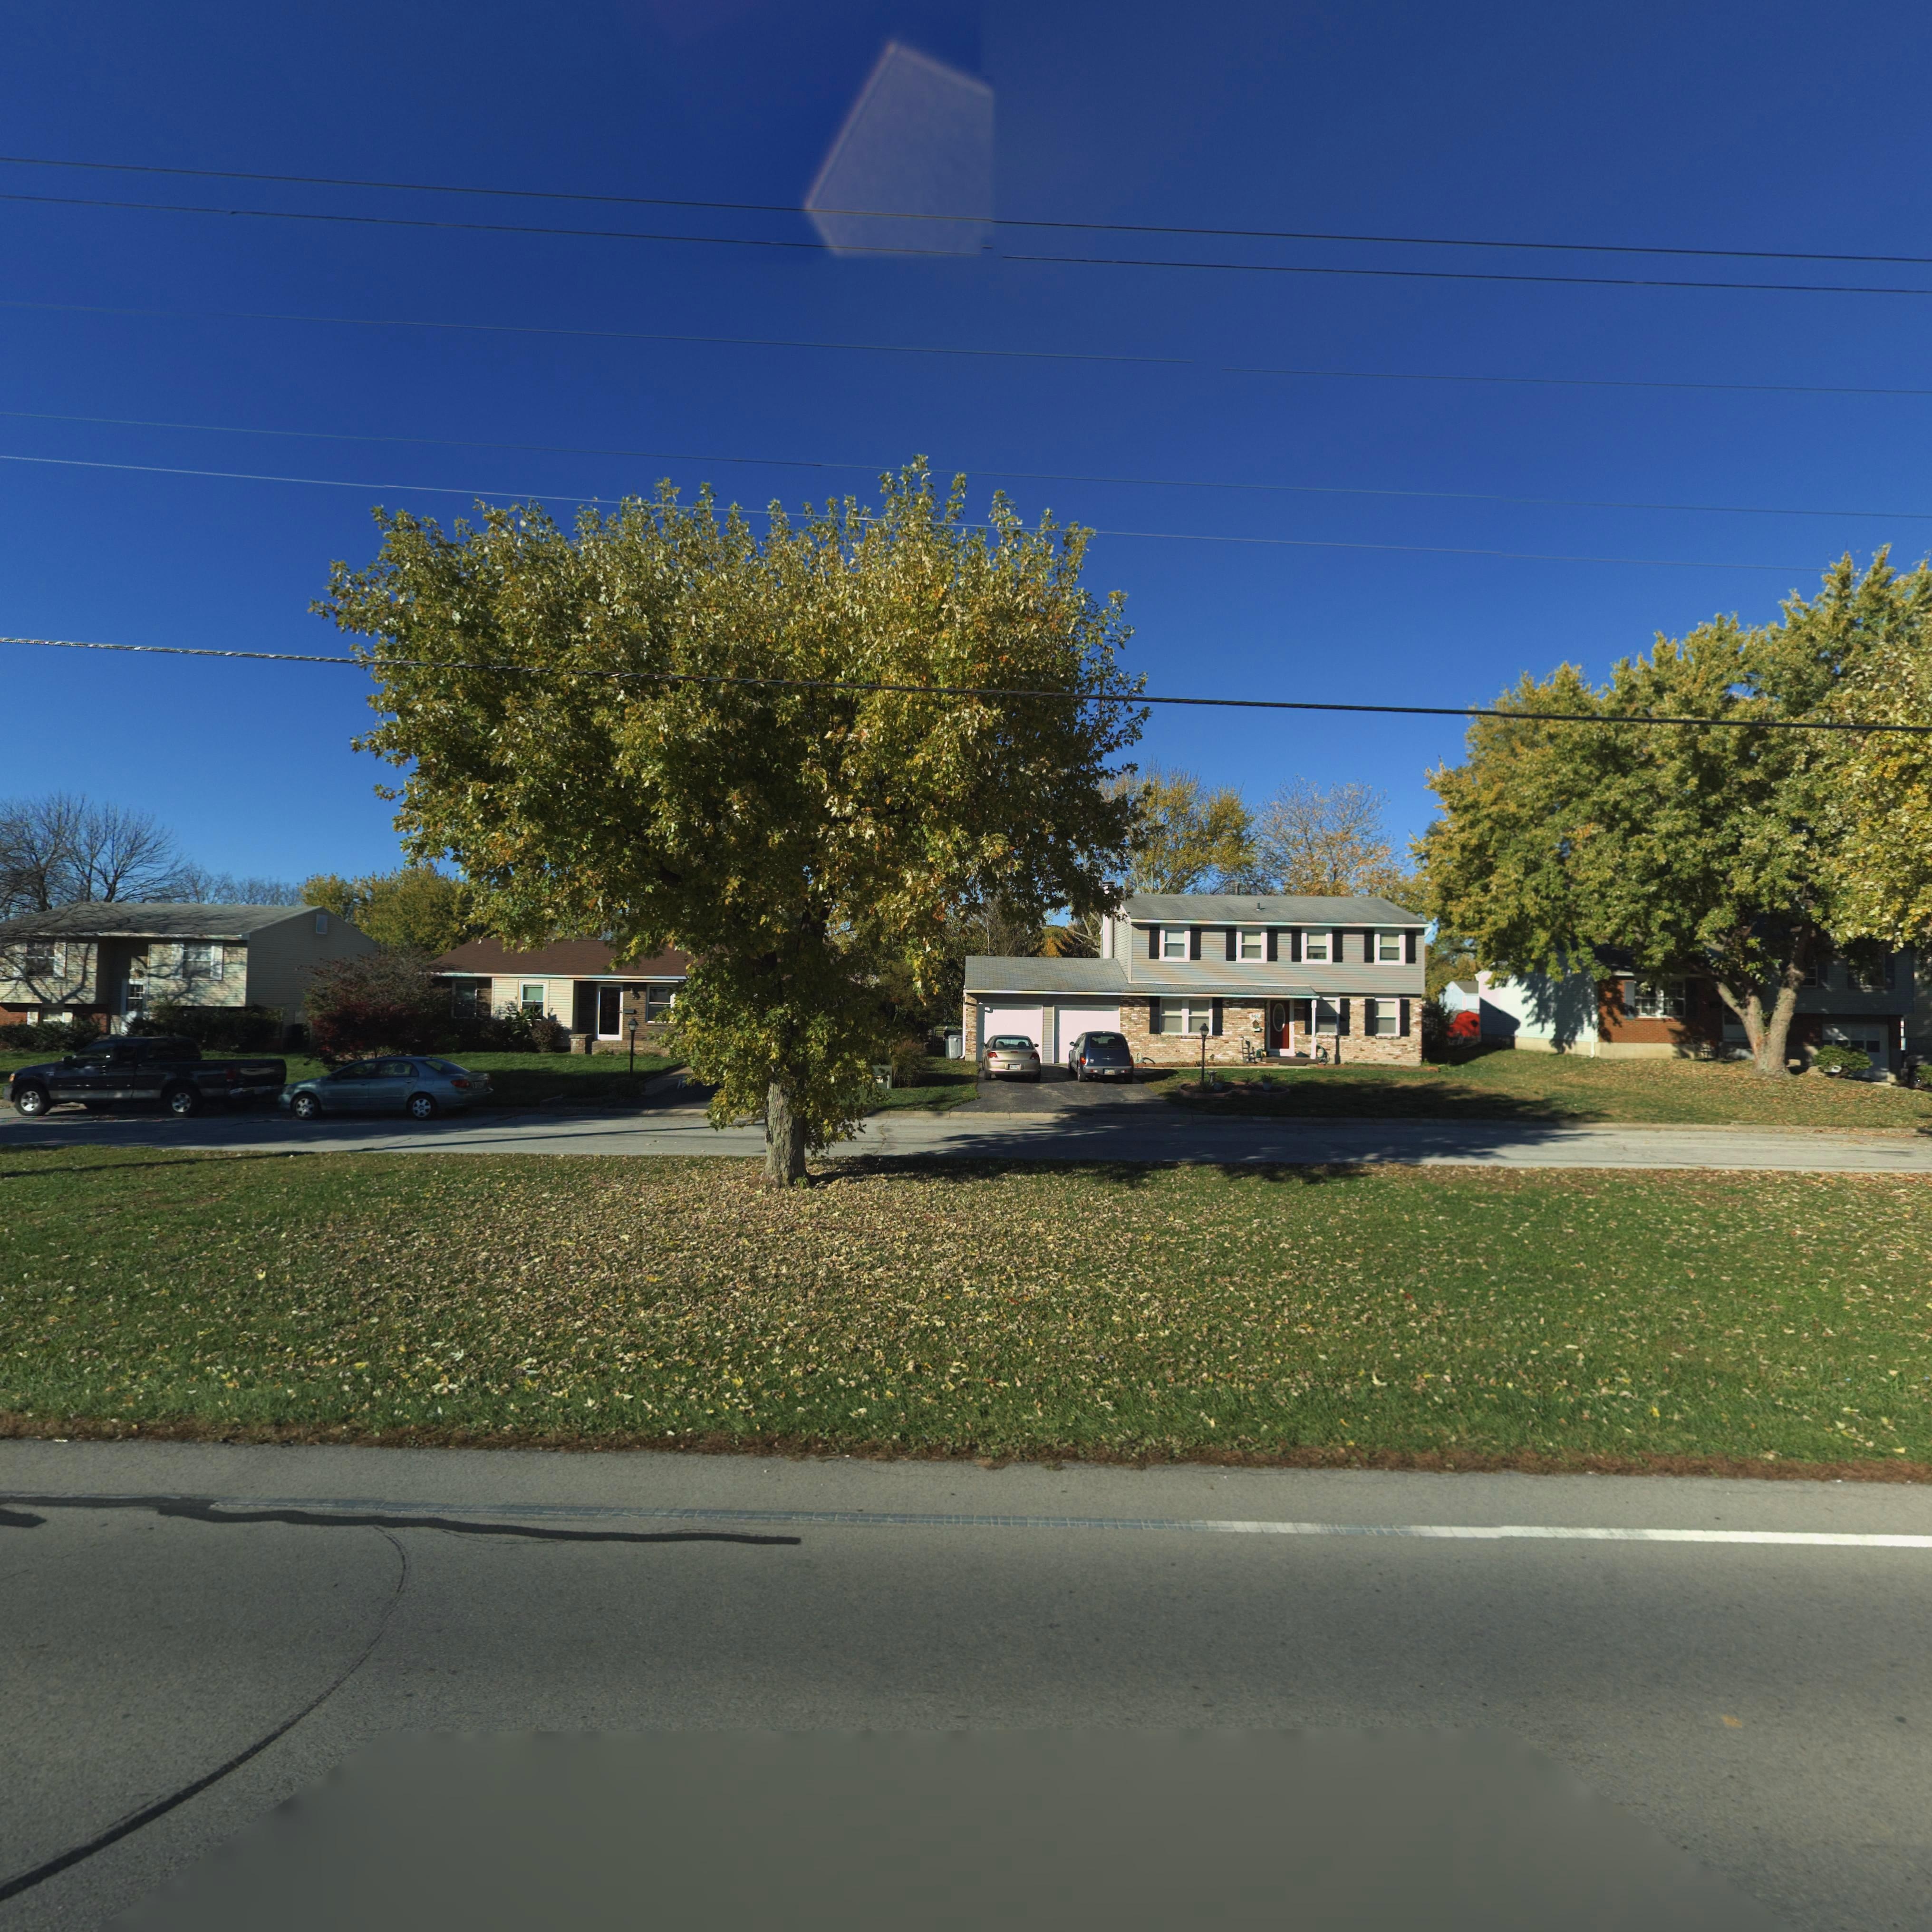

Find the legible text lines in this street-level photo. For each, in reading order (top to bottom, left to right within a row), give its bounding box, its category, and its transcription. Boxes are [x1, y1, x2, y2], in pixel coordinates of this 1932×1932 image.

[1251, 1014, 1259, 1018] StreetNumber: 6**